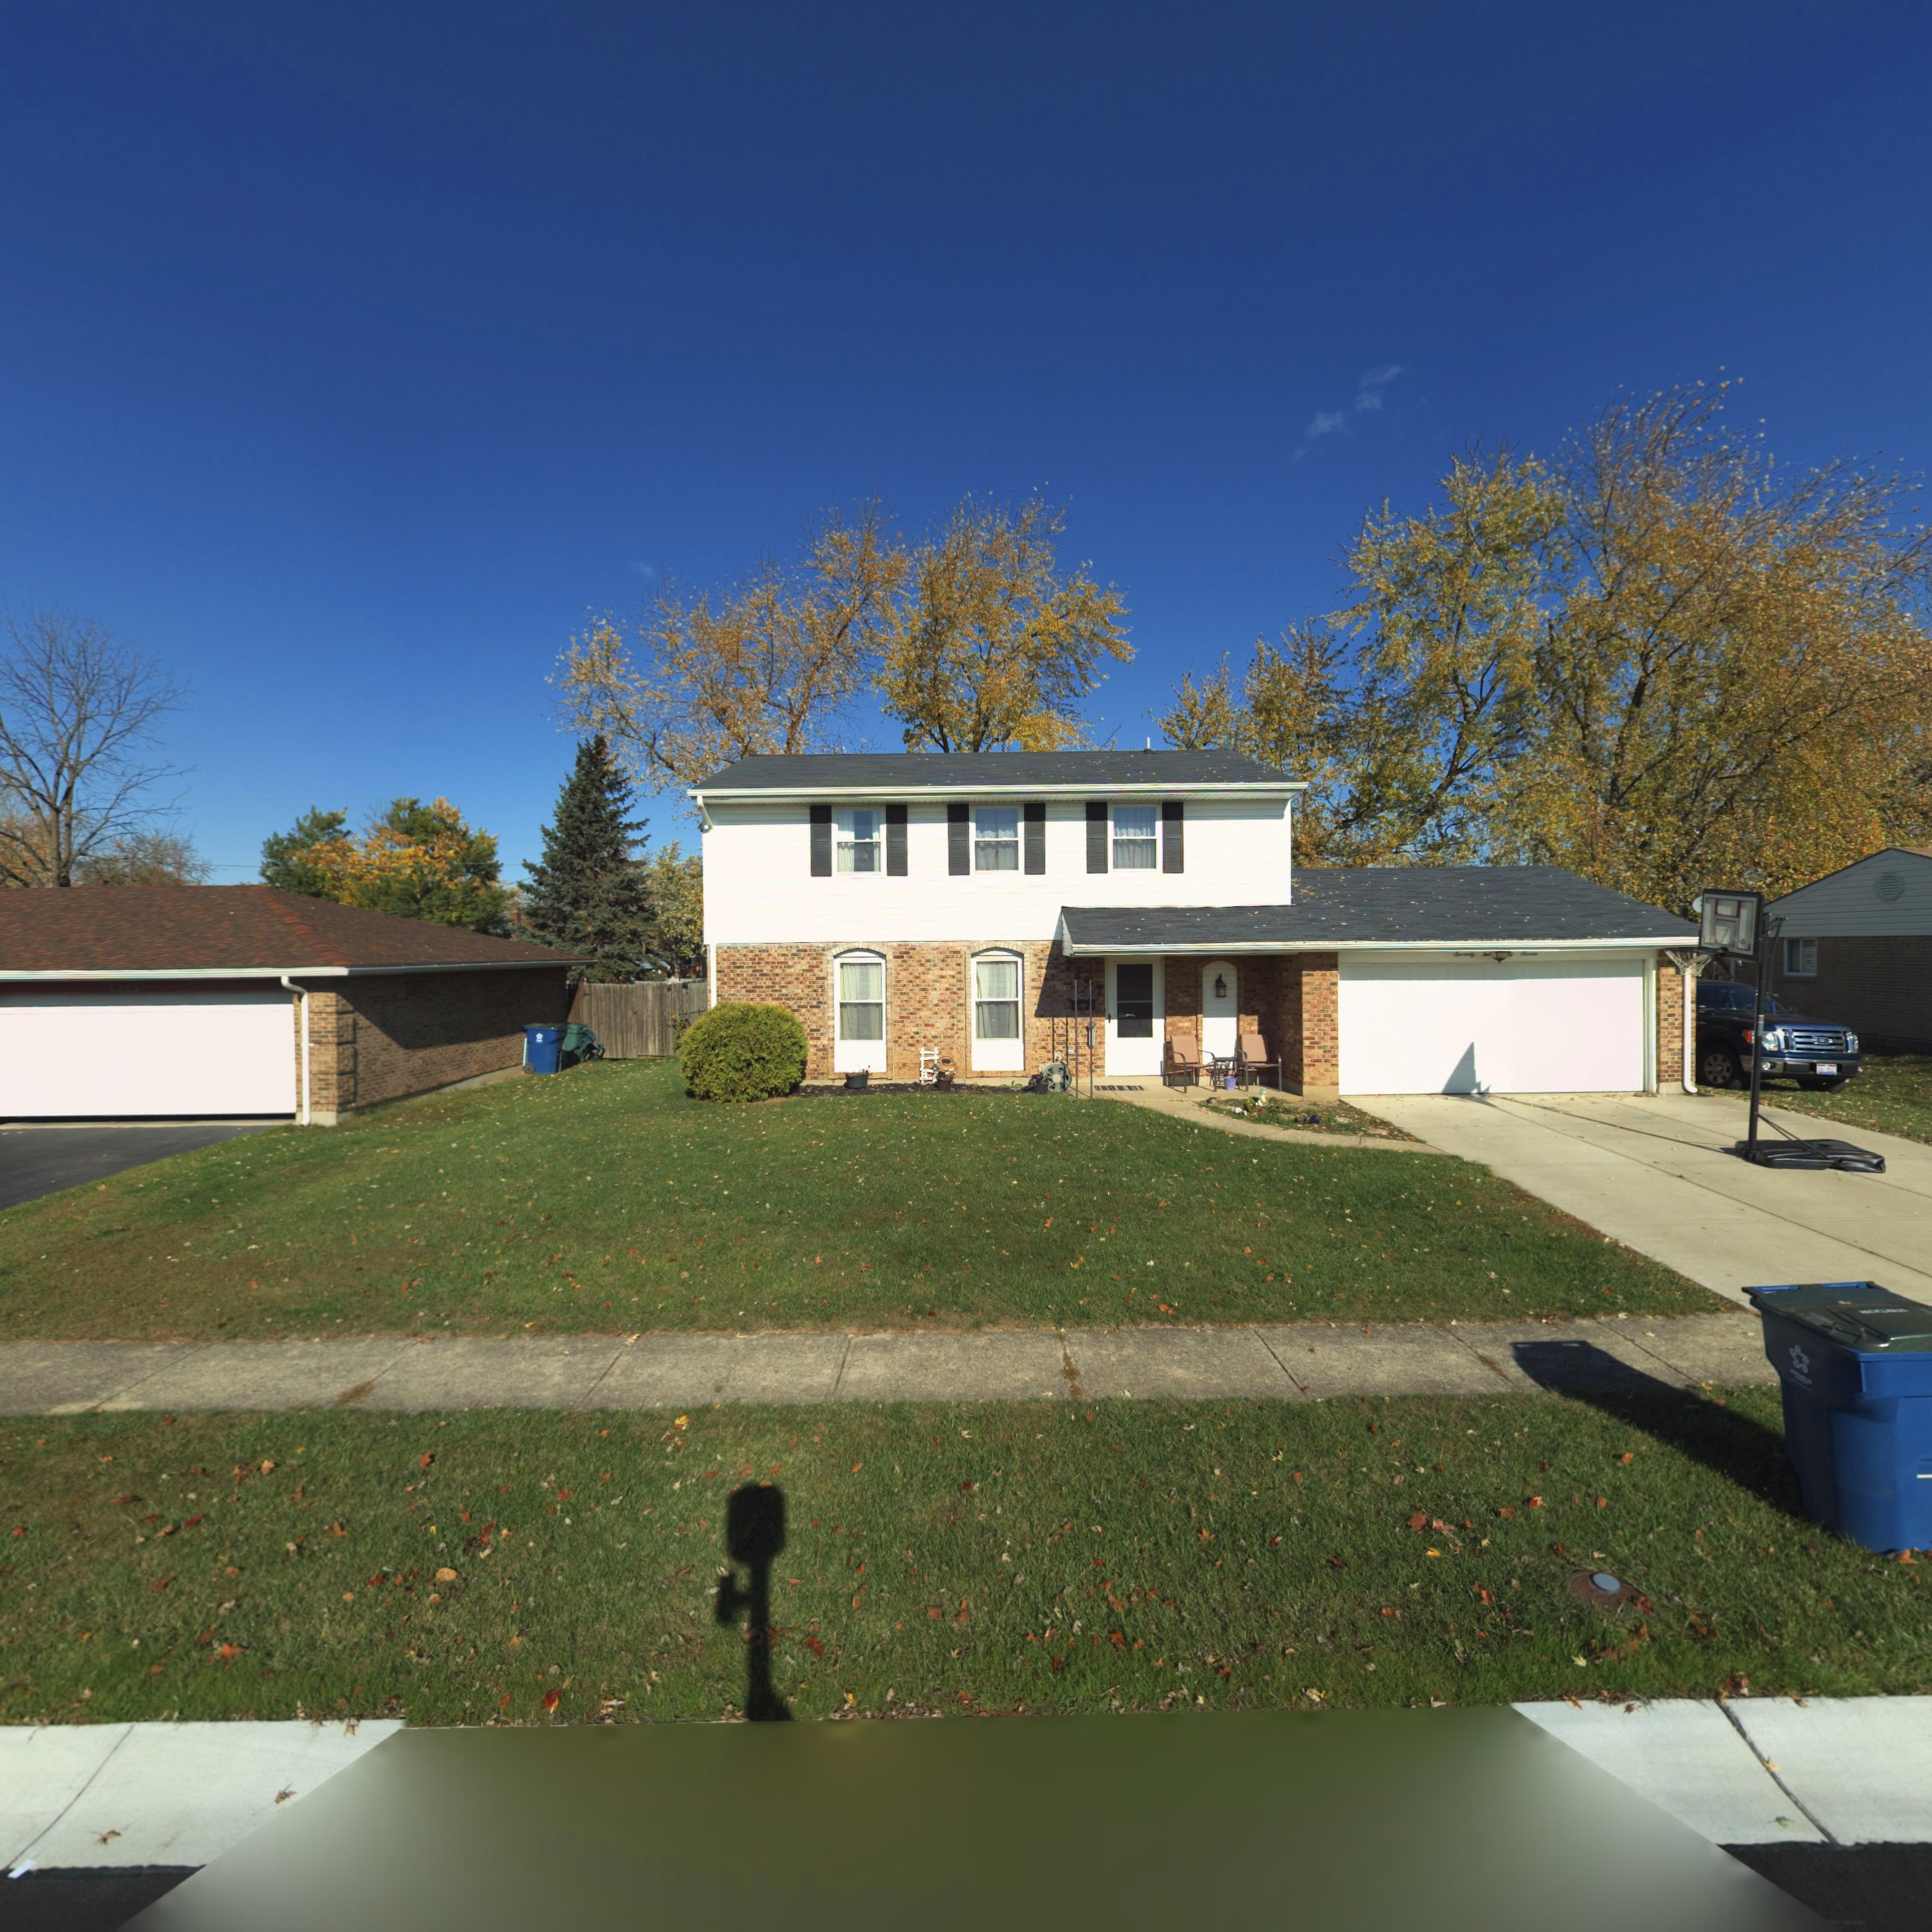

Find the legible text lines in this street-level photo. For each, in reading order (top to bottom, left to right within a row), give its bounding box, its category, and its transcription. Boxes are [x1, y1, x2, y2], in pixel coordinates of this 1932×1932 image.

[1063, 959, 1105, 997] StreetNumber: 7**7